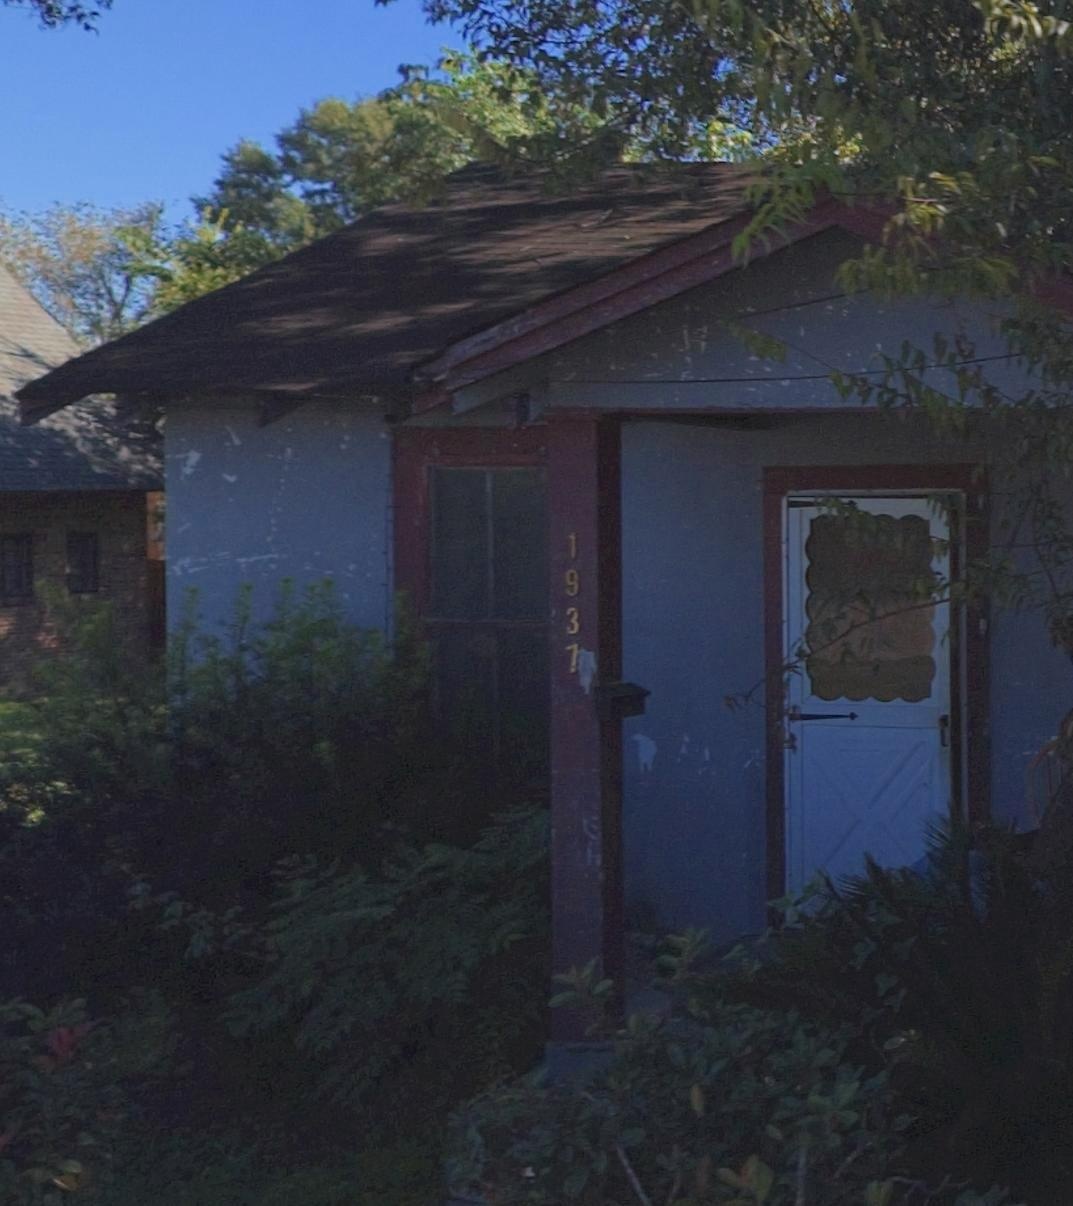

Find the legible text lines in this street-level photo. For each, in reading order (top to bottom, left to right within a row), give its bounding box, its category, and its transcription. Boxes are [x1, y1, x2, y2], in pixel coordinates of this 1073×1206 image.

[562, 529, 583, 677] StreetNumber: 1937